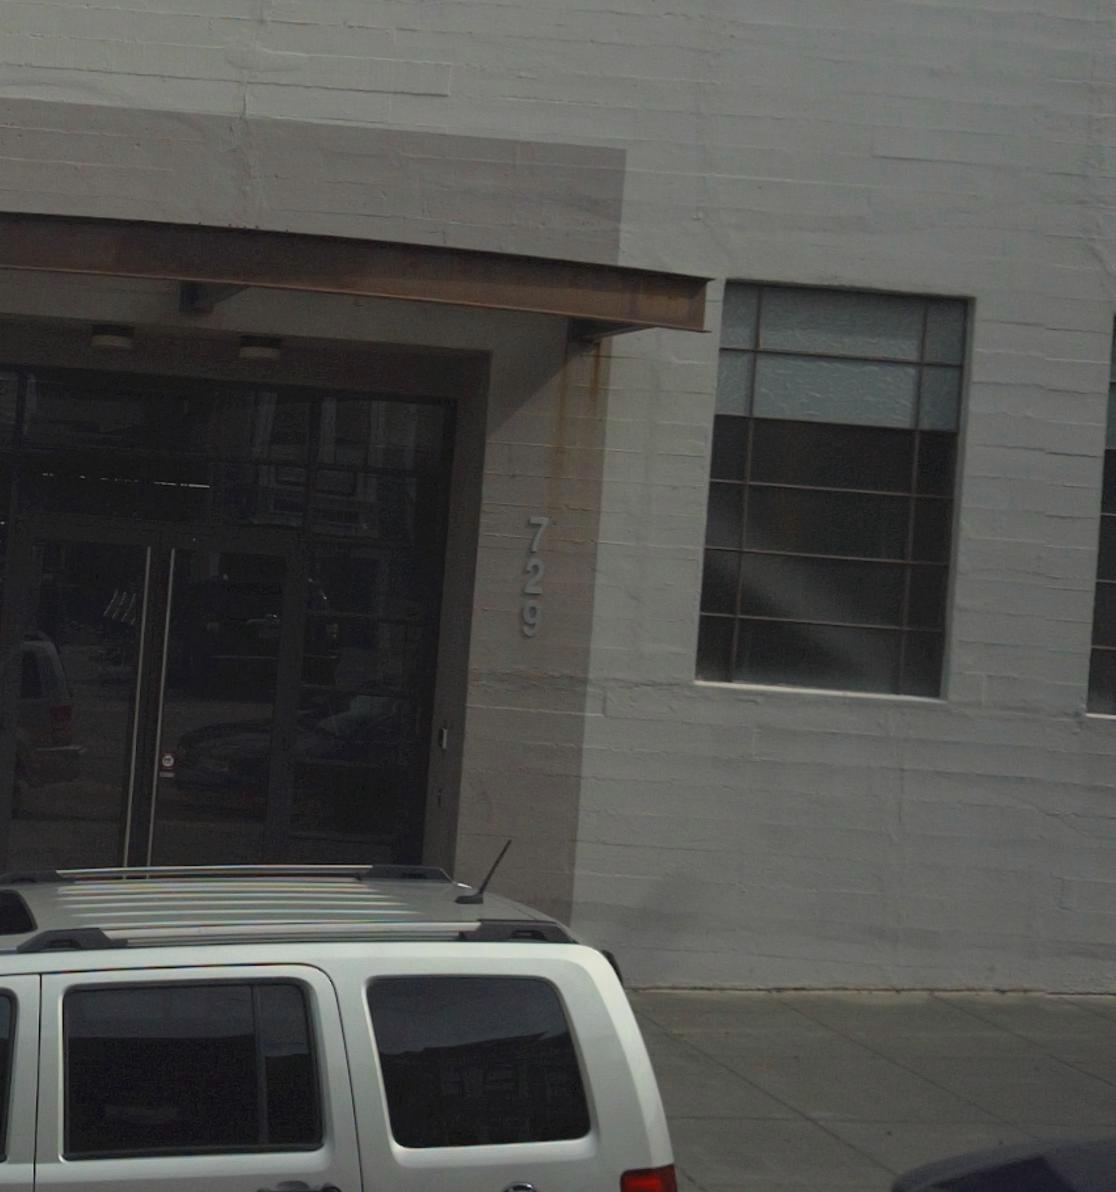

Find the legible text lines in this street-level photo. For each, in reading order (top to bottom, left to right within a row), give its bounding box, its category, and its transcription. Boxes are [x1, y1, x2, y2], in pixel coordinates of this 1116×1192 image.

[517, 513, 553, 641] StreetNumber: 729